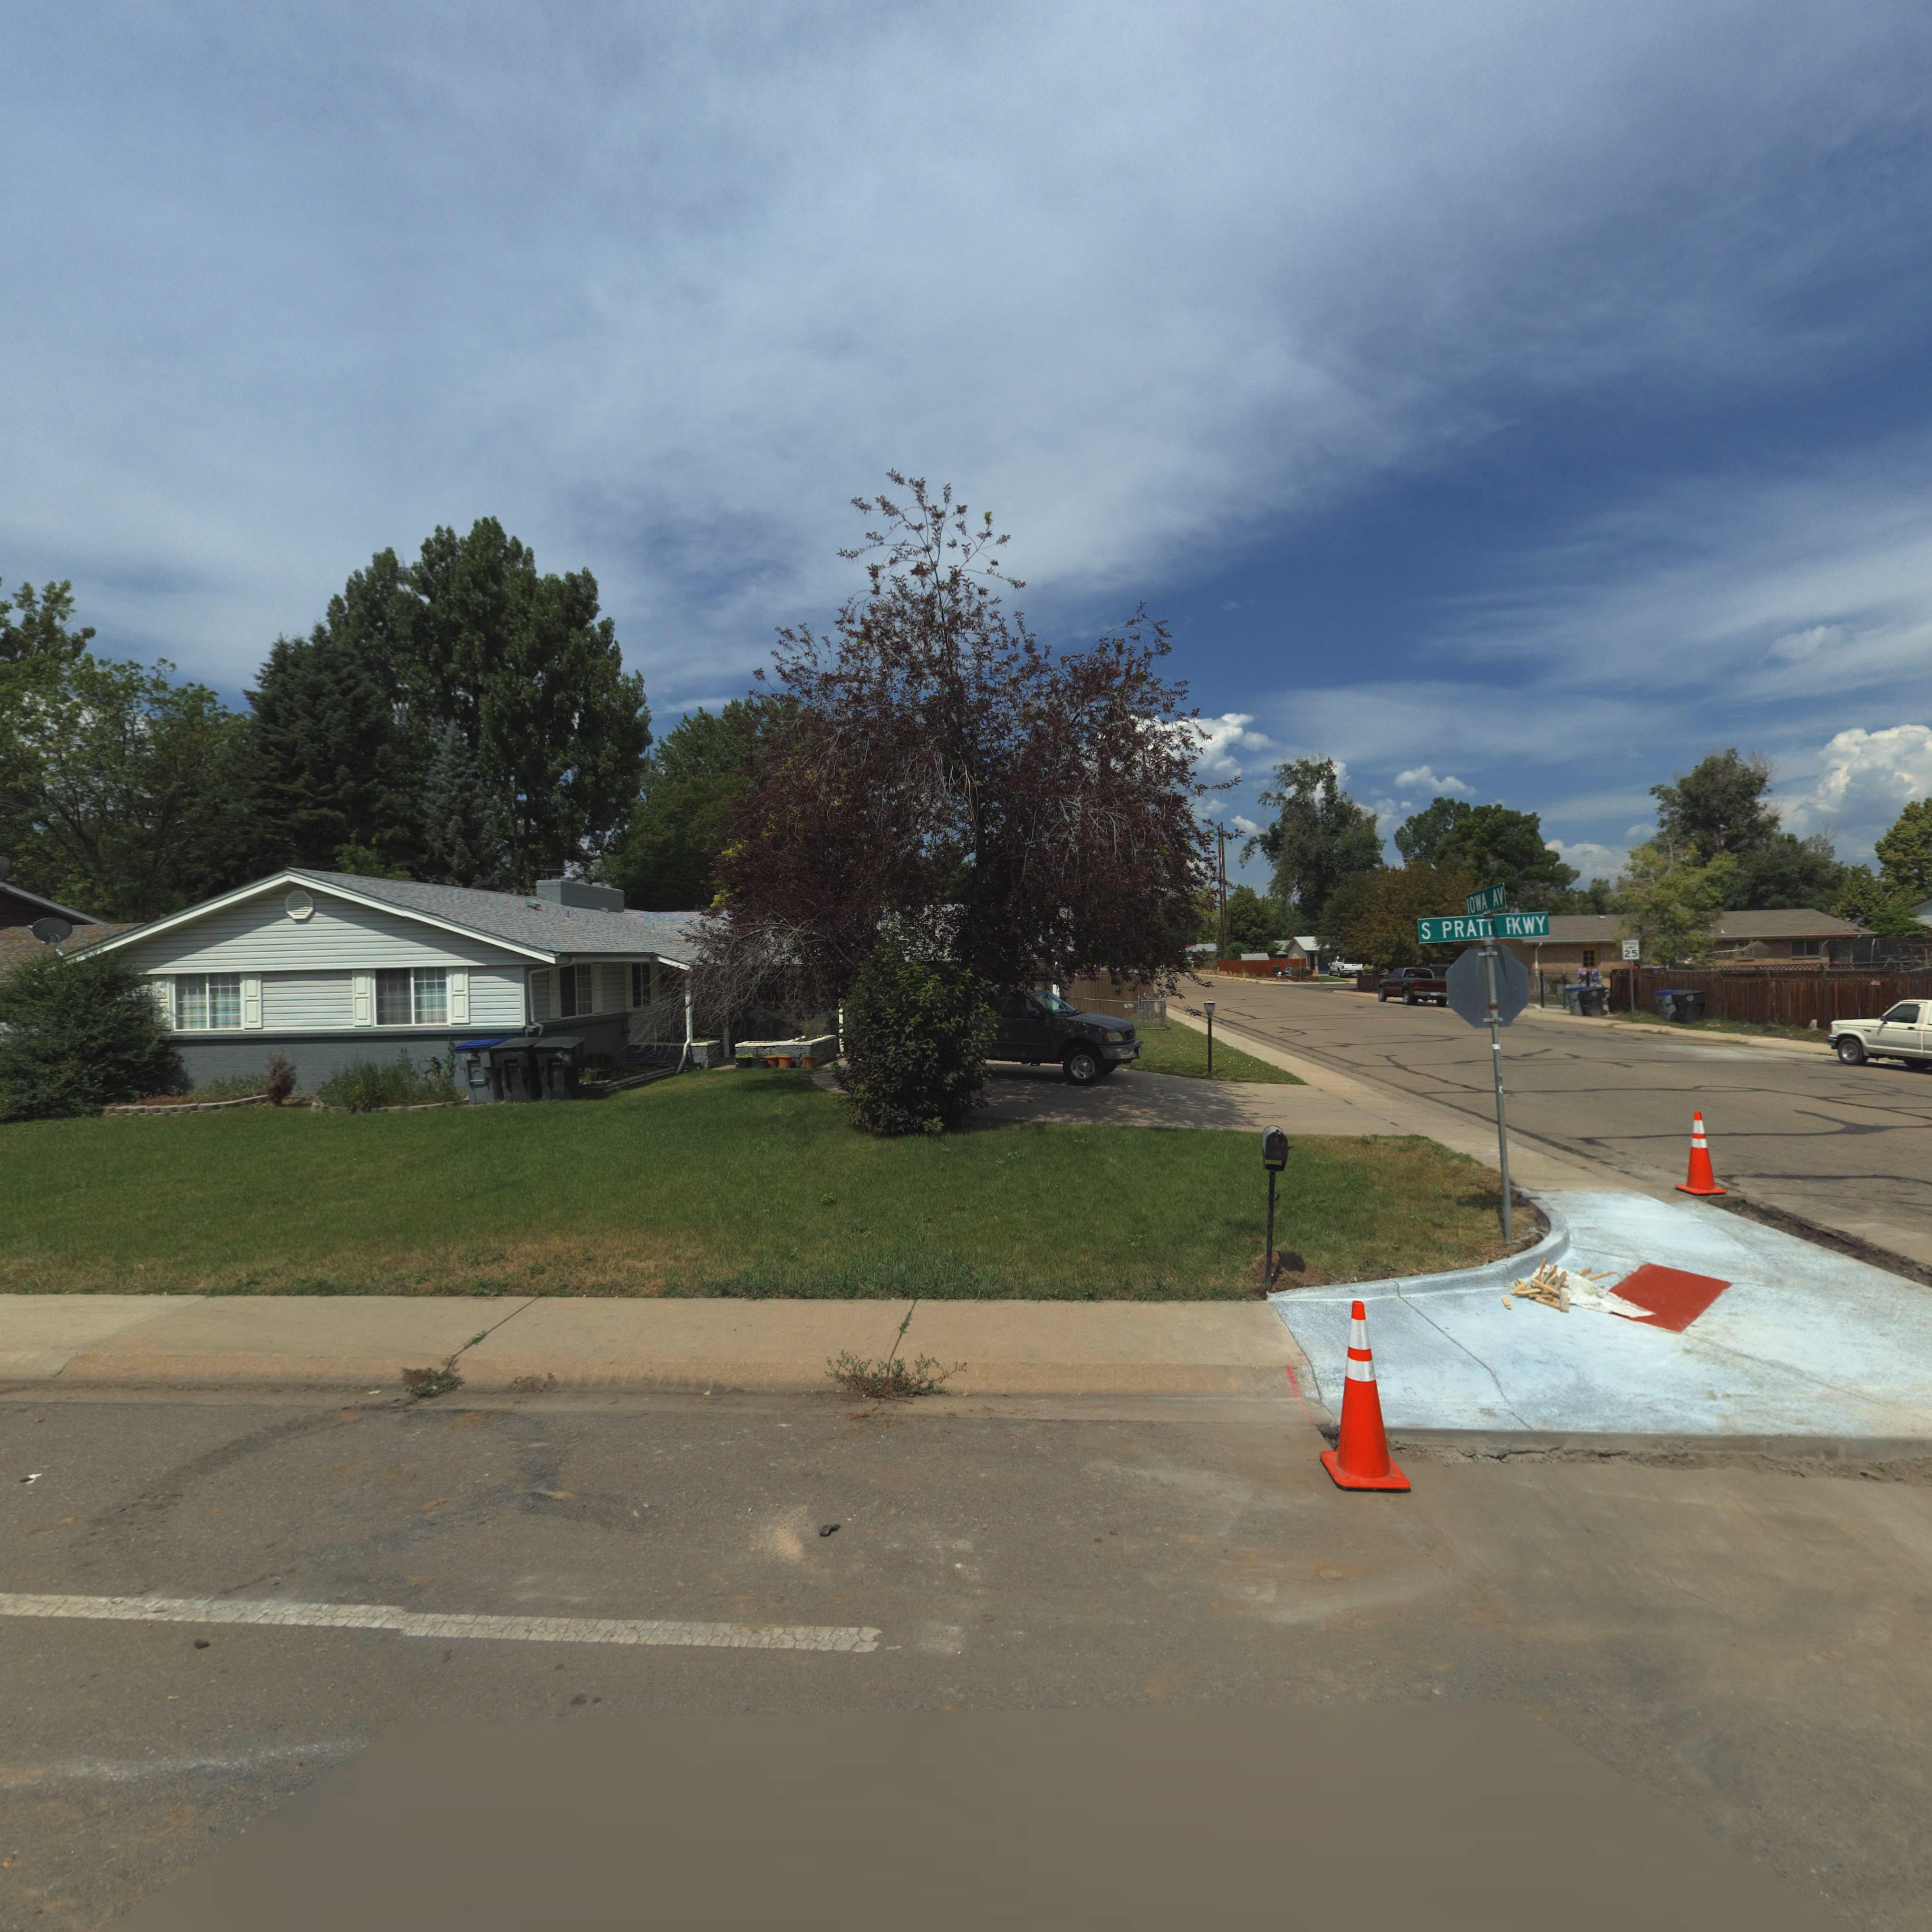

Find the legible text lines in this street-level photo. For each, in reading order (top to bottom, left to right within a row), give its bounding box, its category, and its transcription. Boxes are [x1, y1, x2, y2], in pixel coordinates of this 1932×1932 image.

[1466, 886, 1503, 915] StreetNumber: IOWA AV
[1420, 914, 1547, 940] StreetName: S PRATT *KWY